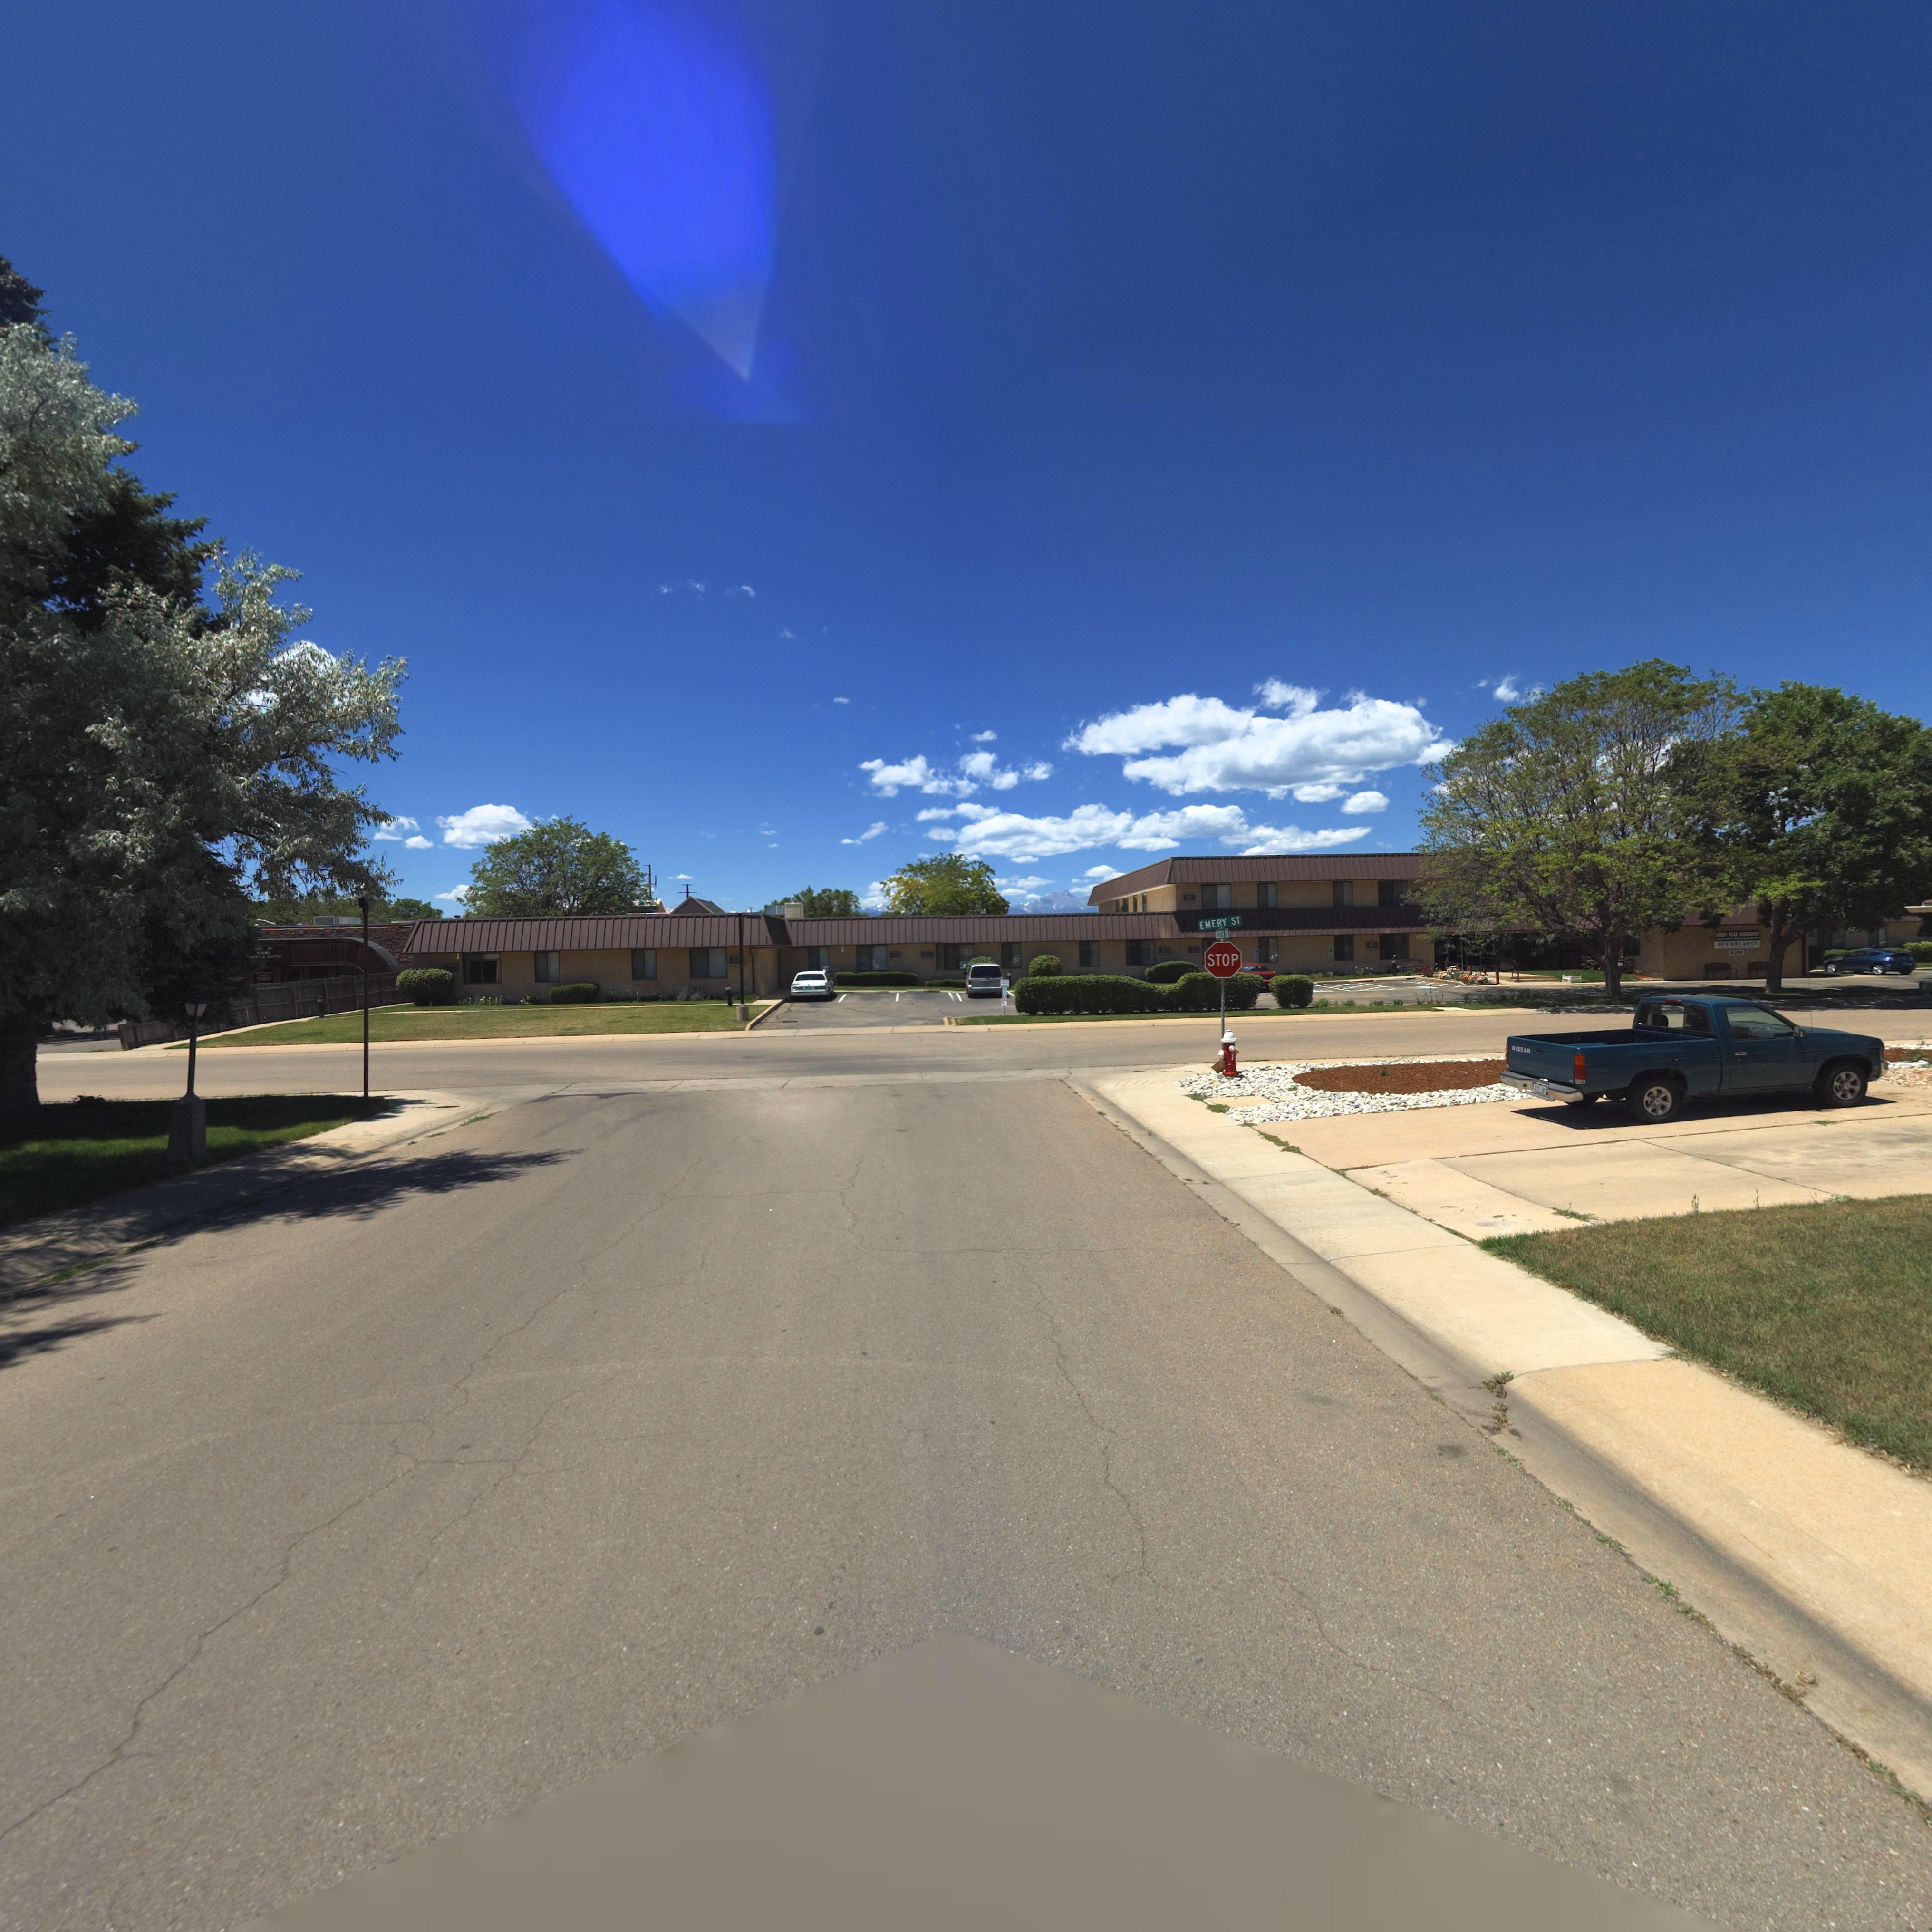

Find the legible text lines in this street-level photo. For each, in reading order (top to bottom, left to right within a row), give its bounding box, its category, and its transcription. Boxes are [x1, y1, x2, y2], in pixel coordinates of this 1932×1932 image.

[1199, 916, 1240, 929] StreetName: EMERY ST
[1215, 929, 1229, 939] StreetName: *E**E* D*